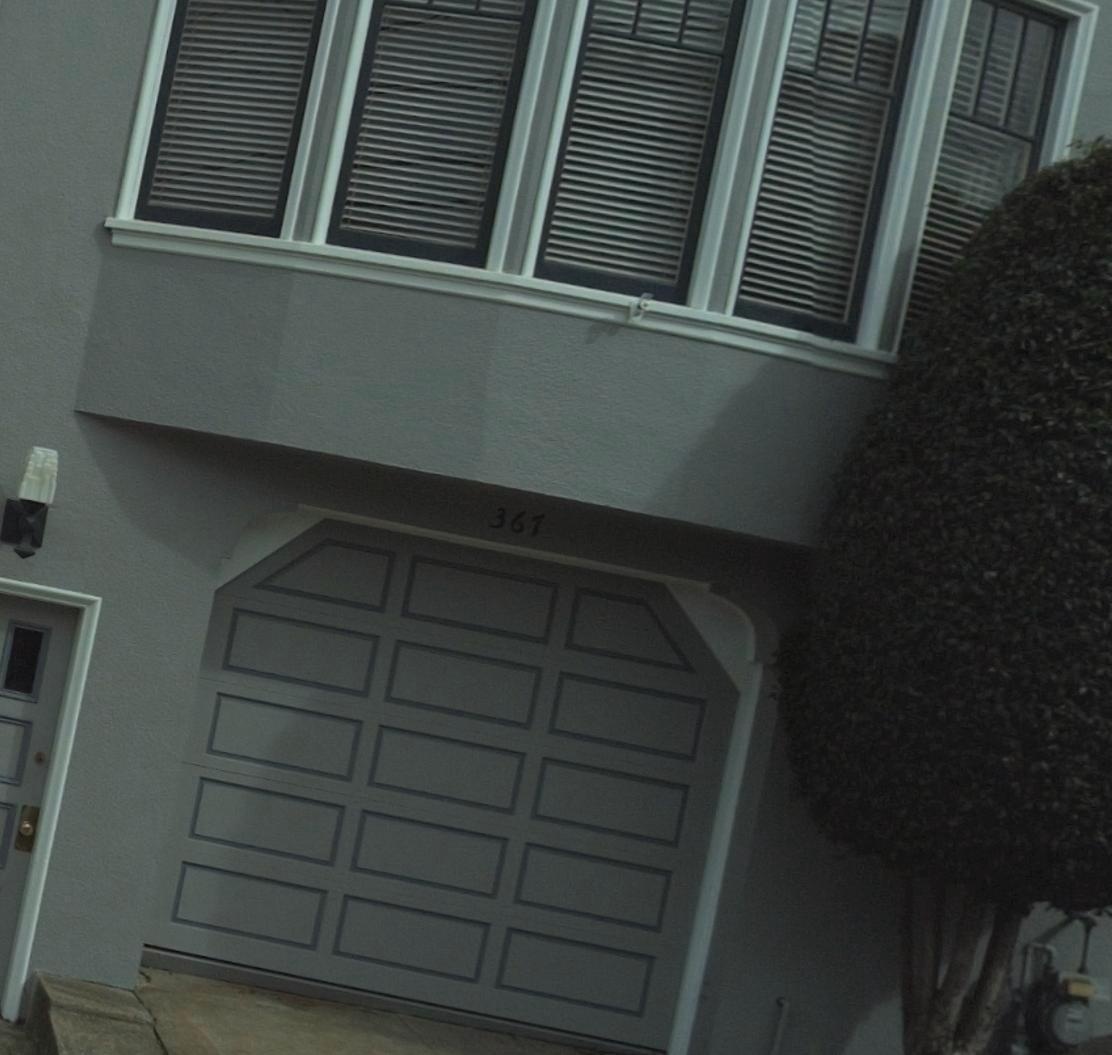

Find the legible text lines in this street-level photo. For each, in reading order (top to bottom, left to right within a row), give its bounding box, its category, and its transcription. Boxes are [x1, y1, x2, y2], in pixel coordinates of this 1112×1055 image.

[488, 506, 548, 537] StreetNumber: 367